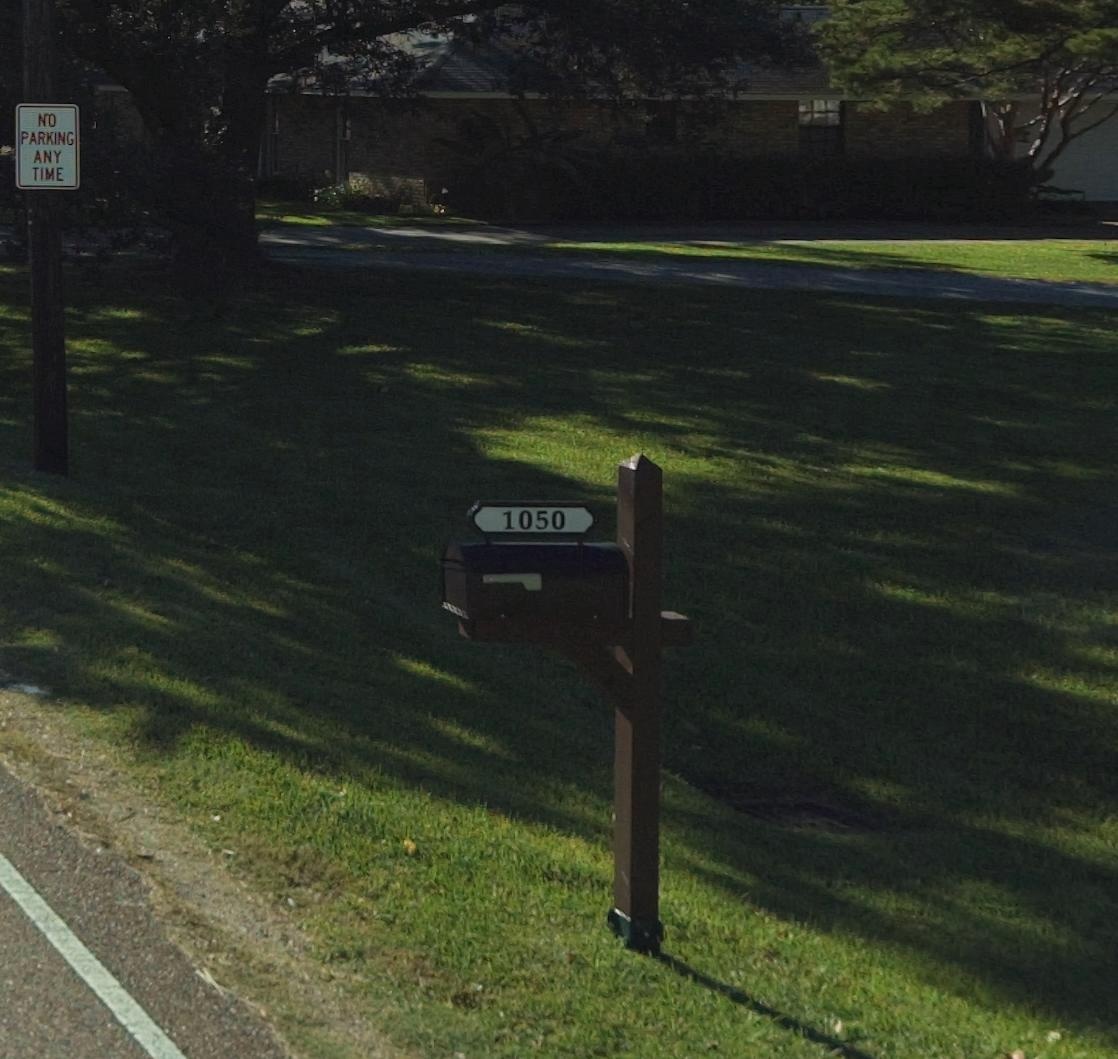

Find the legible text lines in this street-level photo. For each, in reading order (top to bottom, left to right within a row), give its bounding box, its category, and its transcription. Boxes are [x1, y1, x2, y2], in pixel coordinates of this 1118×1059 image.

[36, 111, 59, 130] None: NO
[20, 129, 76, 148] None: PARKING
[30, 147, 64, 166] None: ANY
[30, 165, 66, 184] None: TIME
[501, 509, 567, 532] StreetNumber: 1050